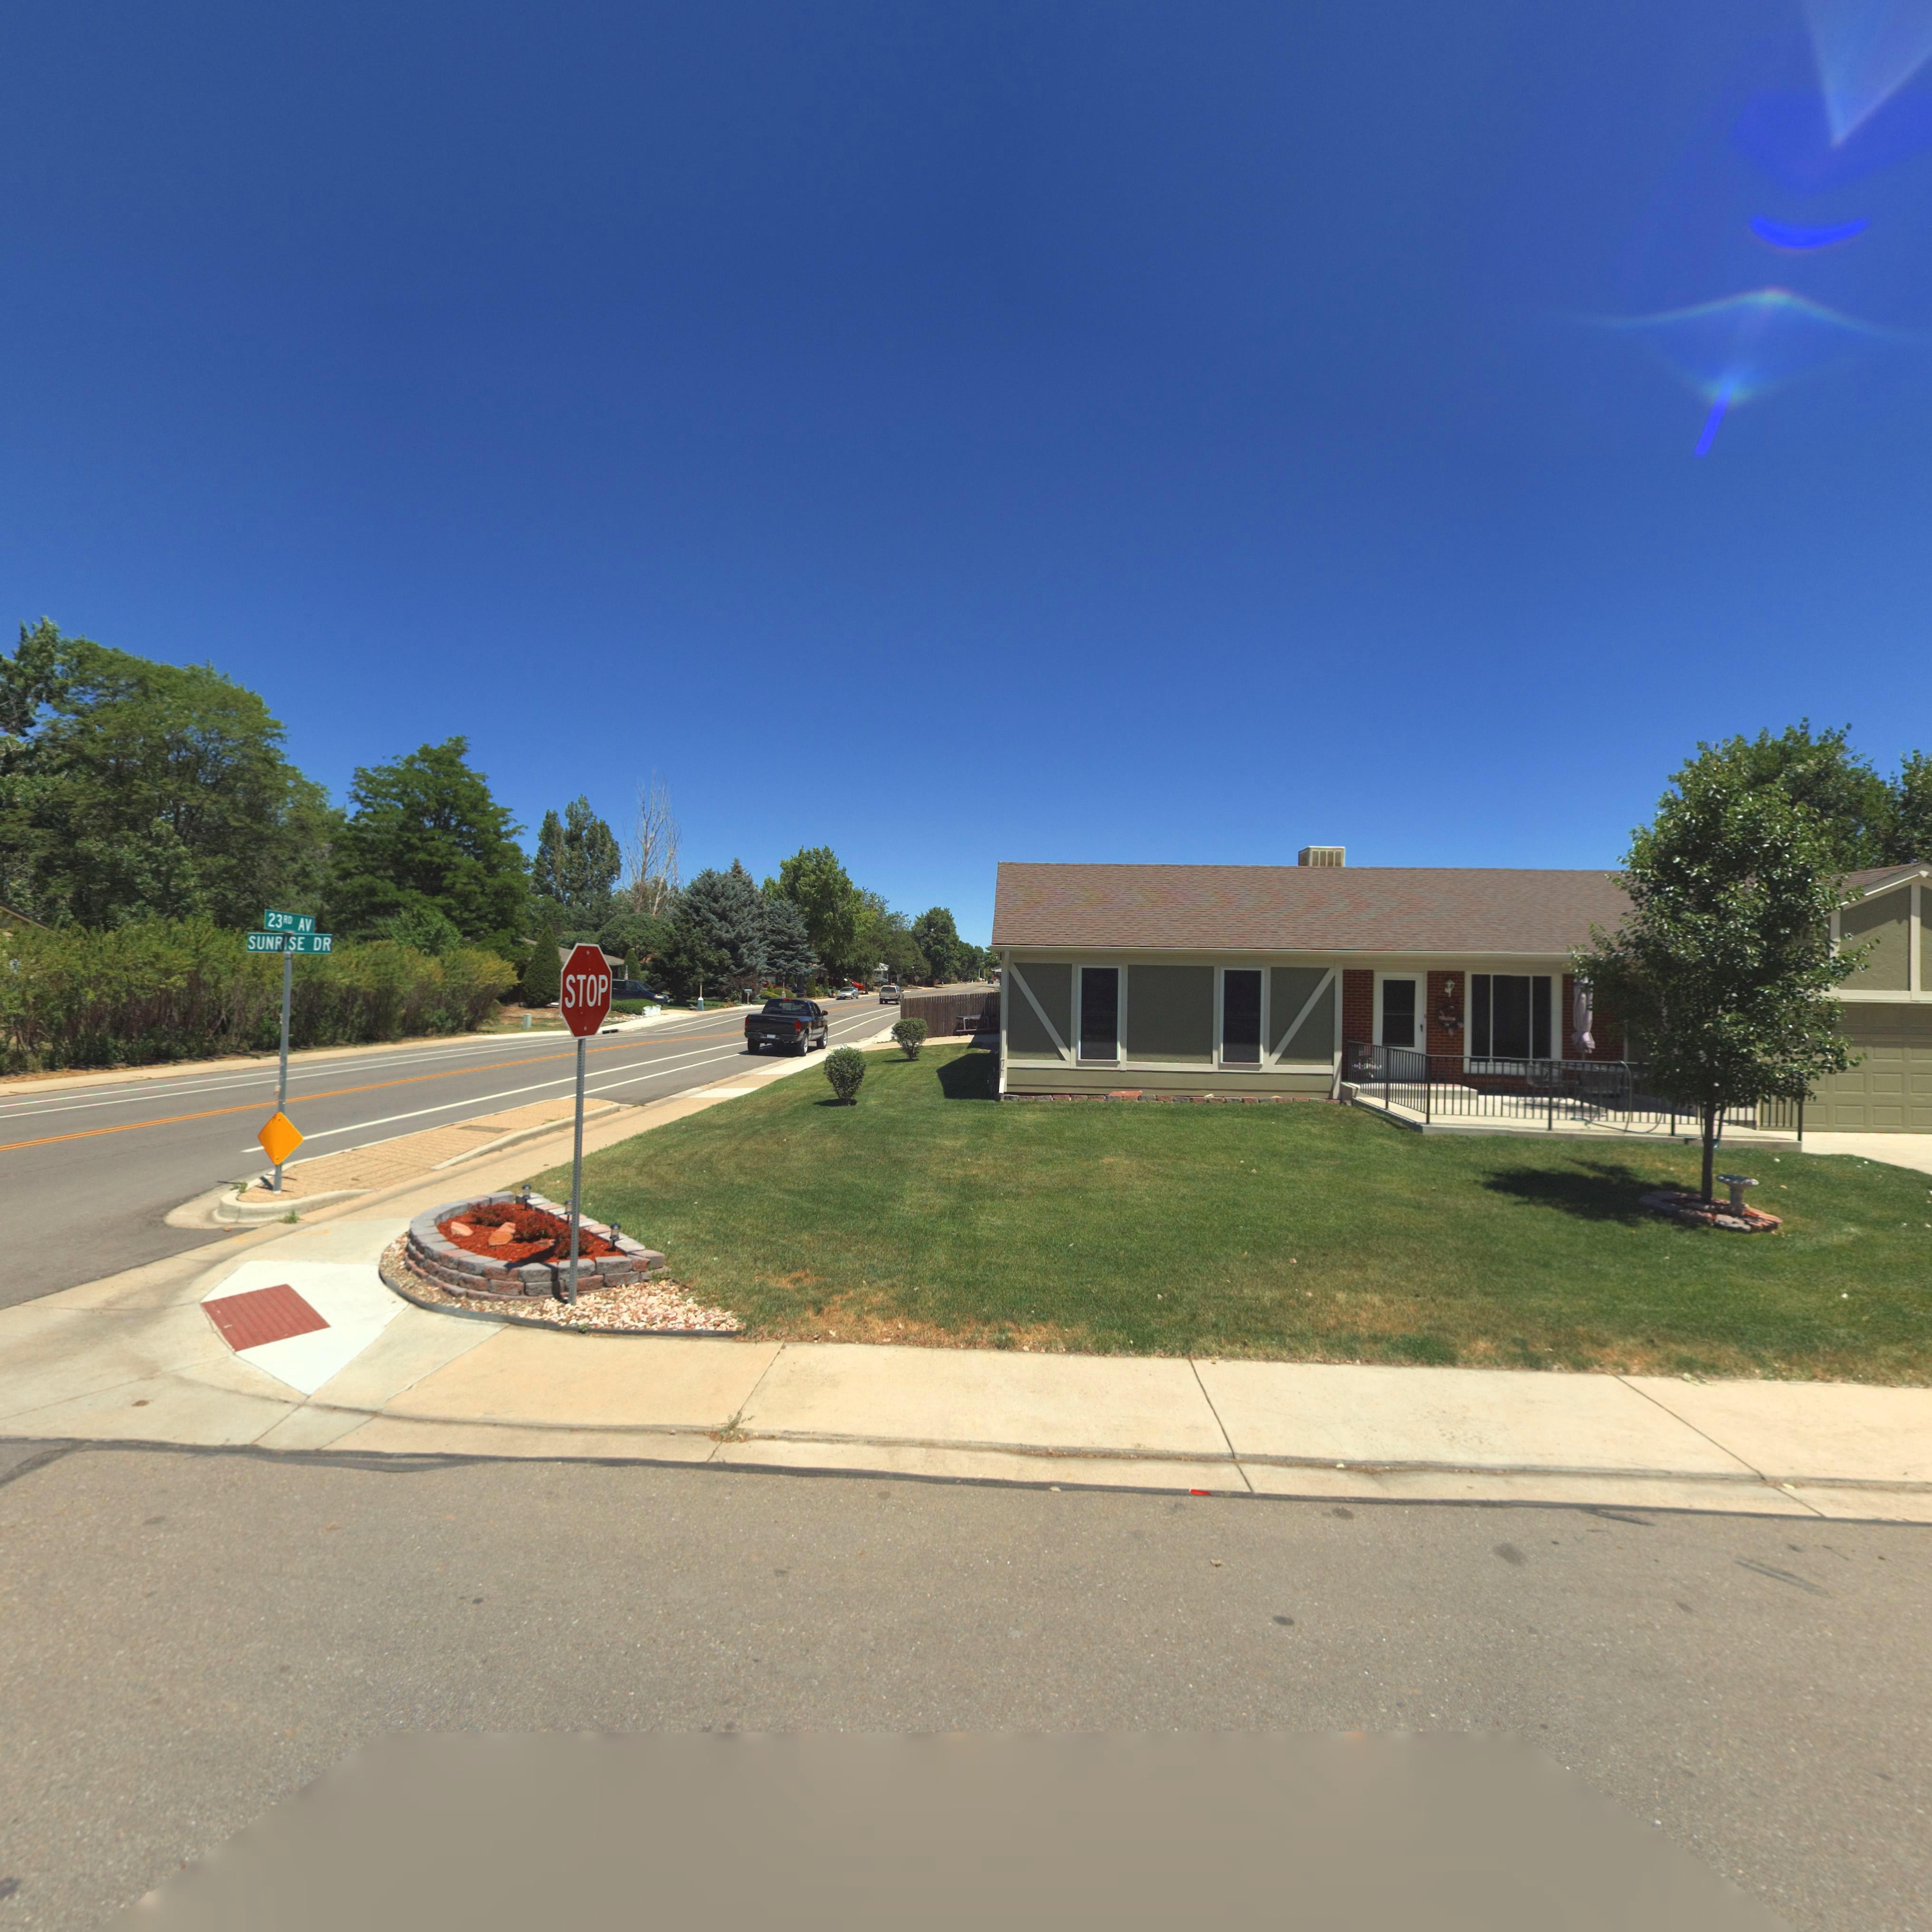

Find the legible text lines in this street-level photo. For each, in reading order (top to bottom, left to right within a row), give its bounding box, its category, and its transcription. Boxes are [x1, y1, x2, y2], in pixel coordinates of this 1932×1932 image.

[267, 911, 313, 933] StreetNumber: 23RD AV
[247, 935, 332, 952] StreetName: SUNRISE DR